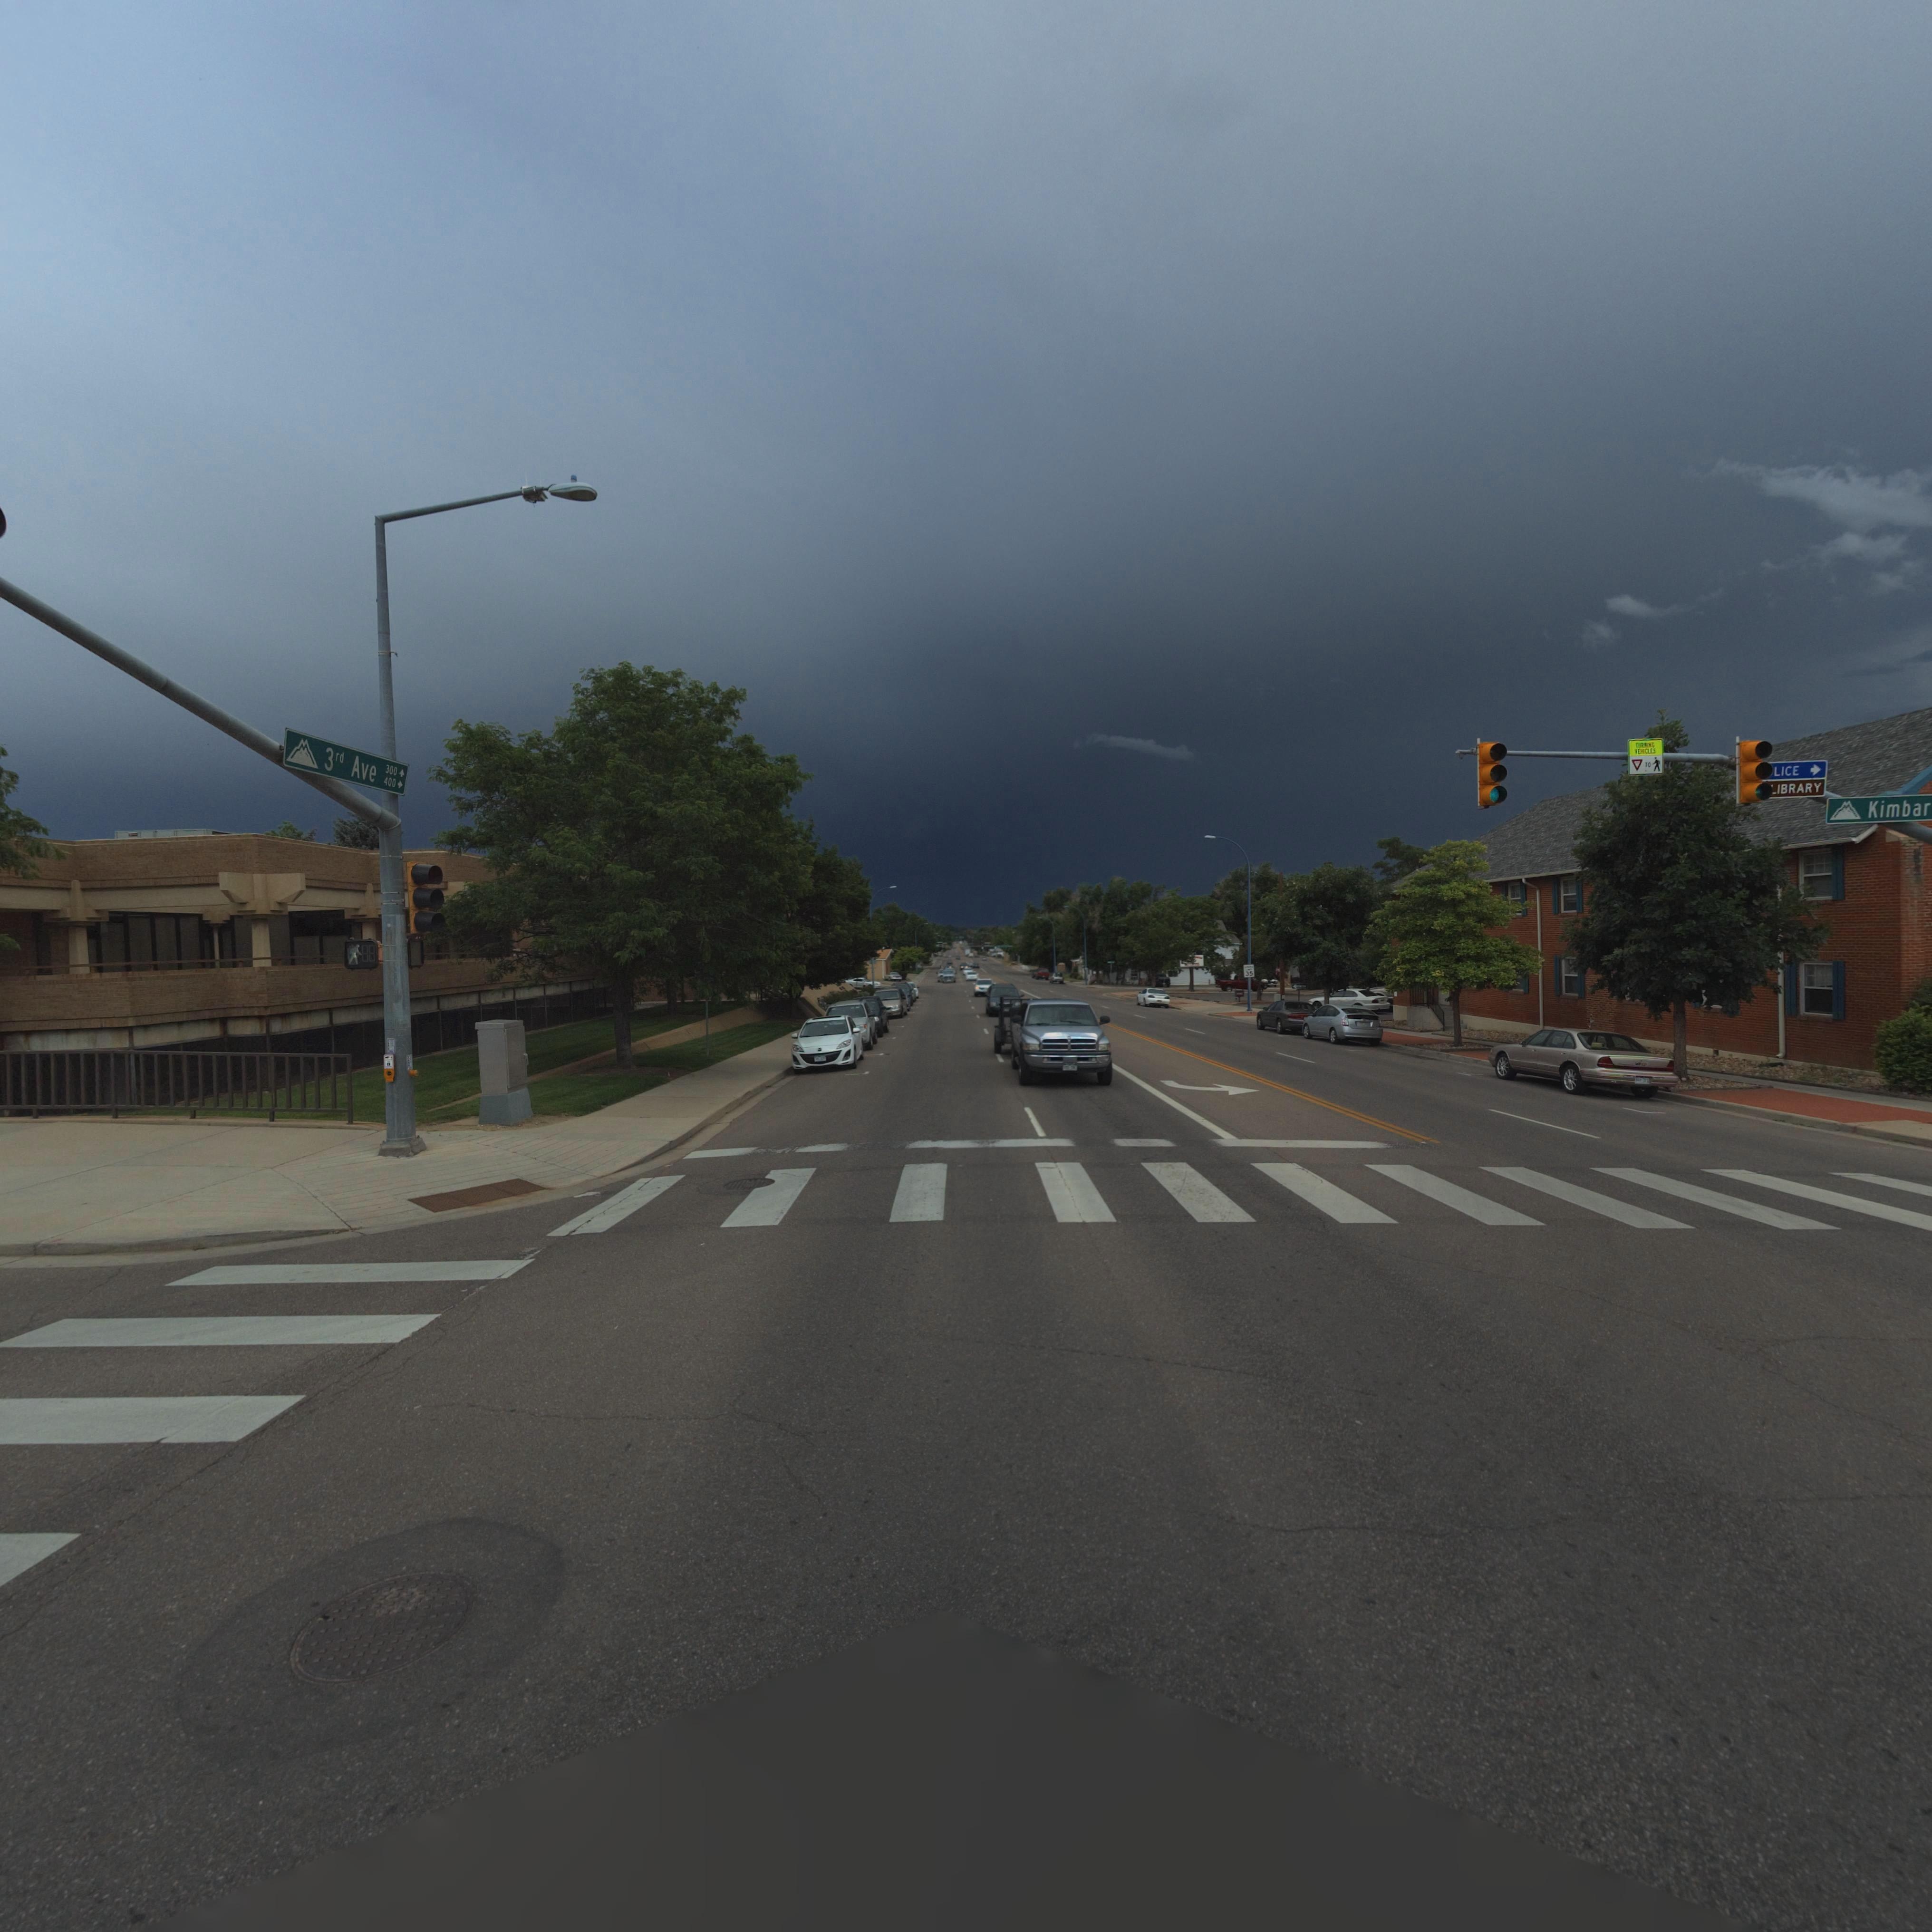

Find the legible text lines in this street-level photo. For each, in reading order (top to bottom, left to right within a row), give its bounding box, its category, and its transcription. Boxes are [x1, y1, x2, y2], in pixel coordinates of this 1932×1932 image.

[323, 746, 377, 782] StreetName: 3rd Ave
[385, 764, 397, 775] StreetNumberRange: 300
[383, 776, 403, 789] StreetNumberRange: 400->
[1868, 799, 1931, 818] StreetName: Kimbar